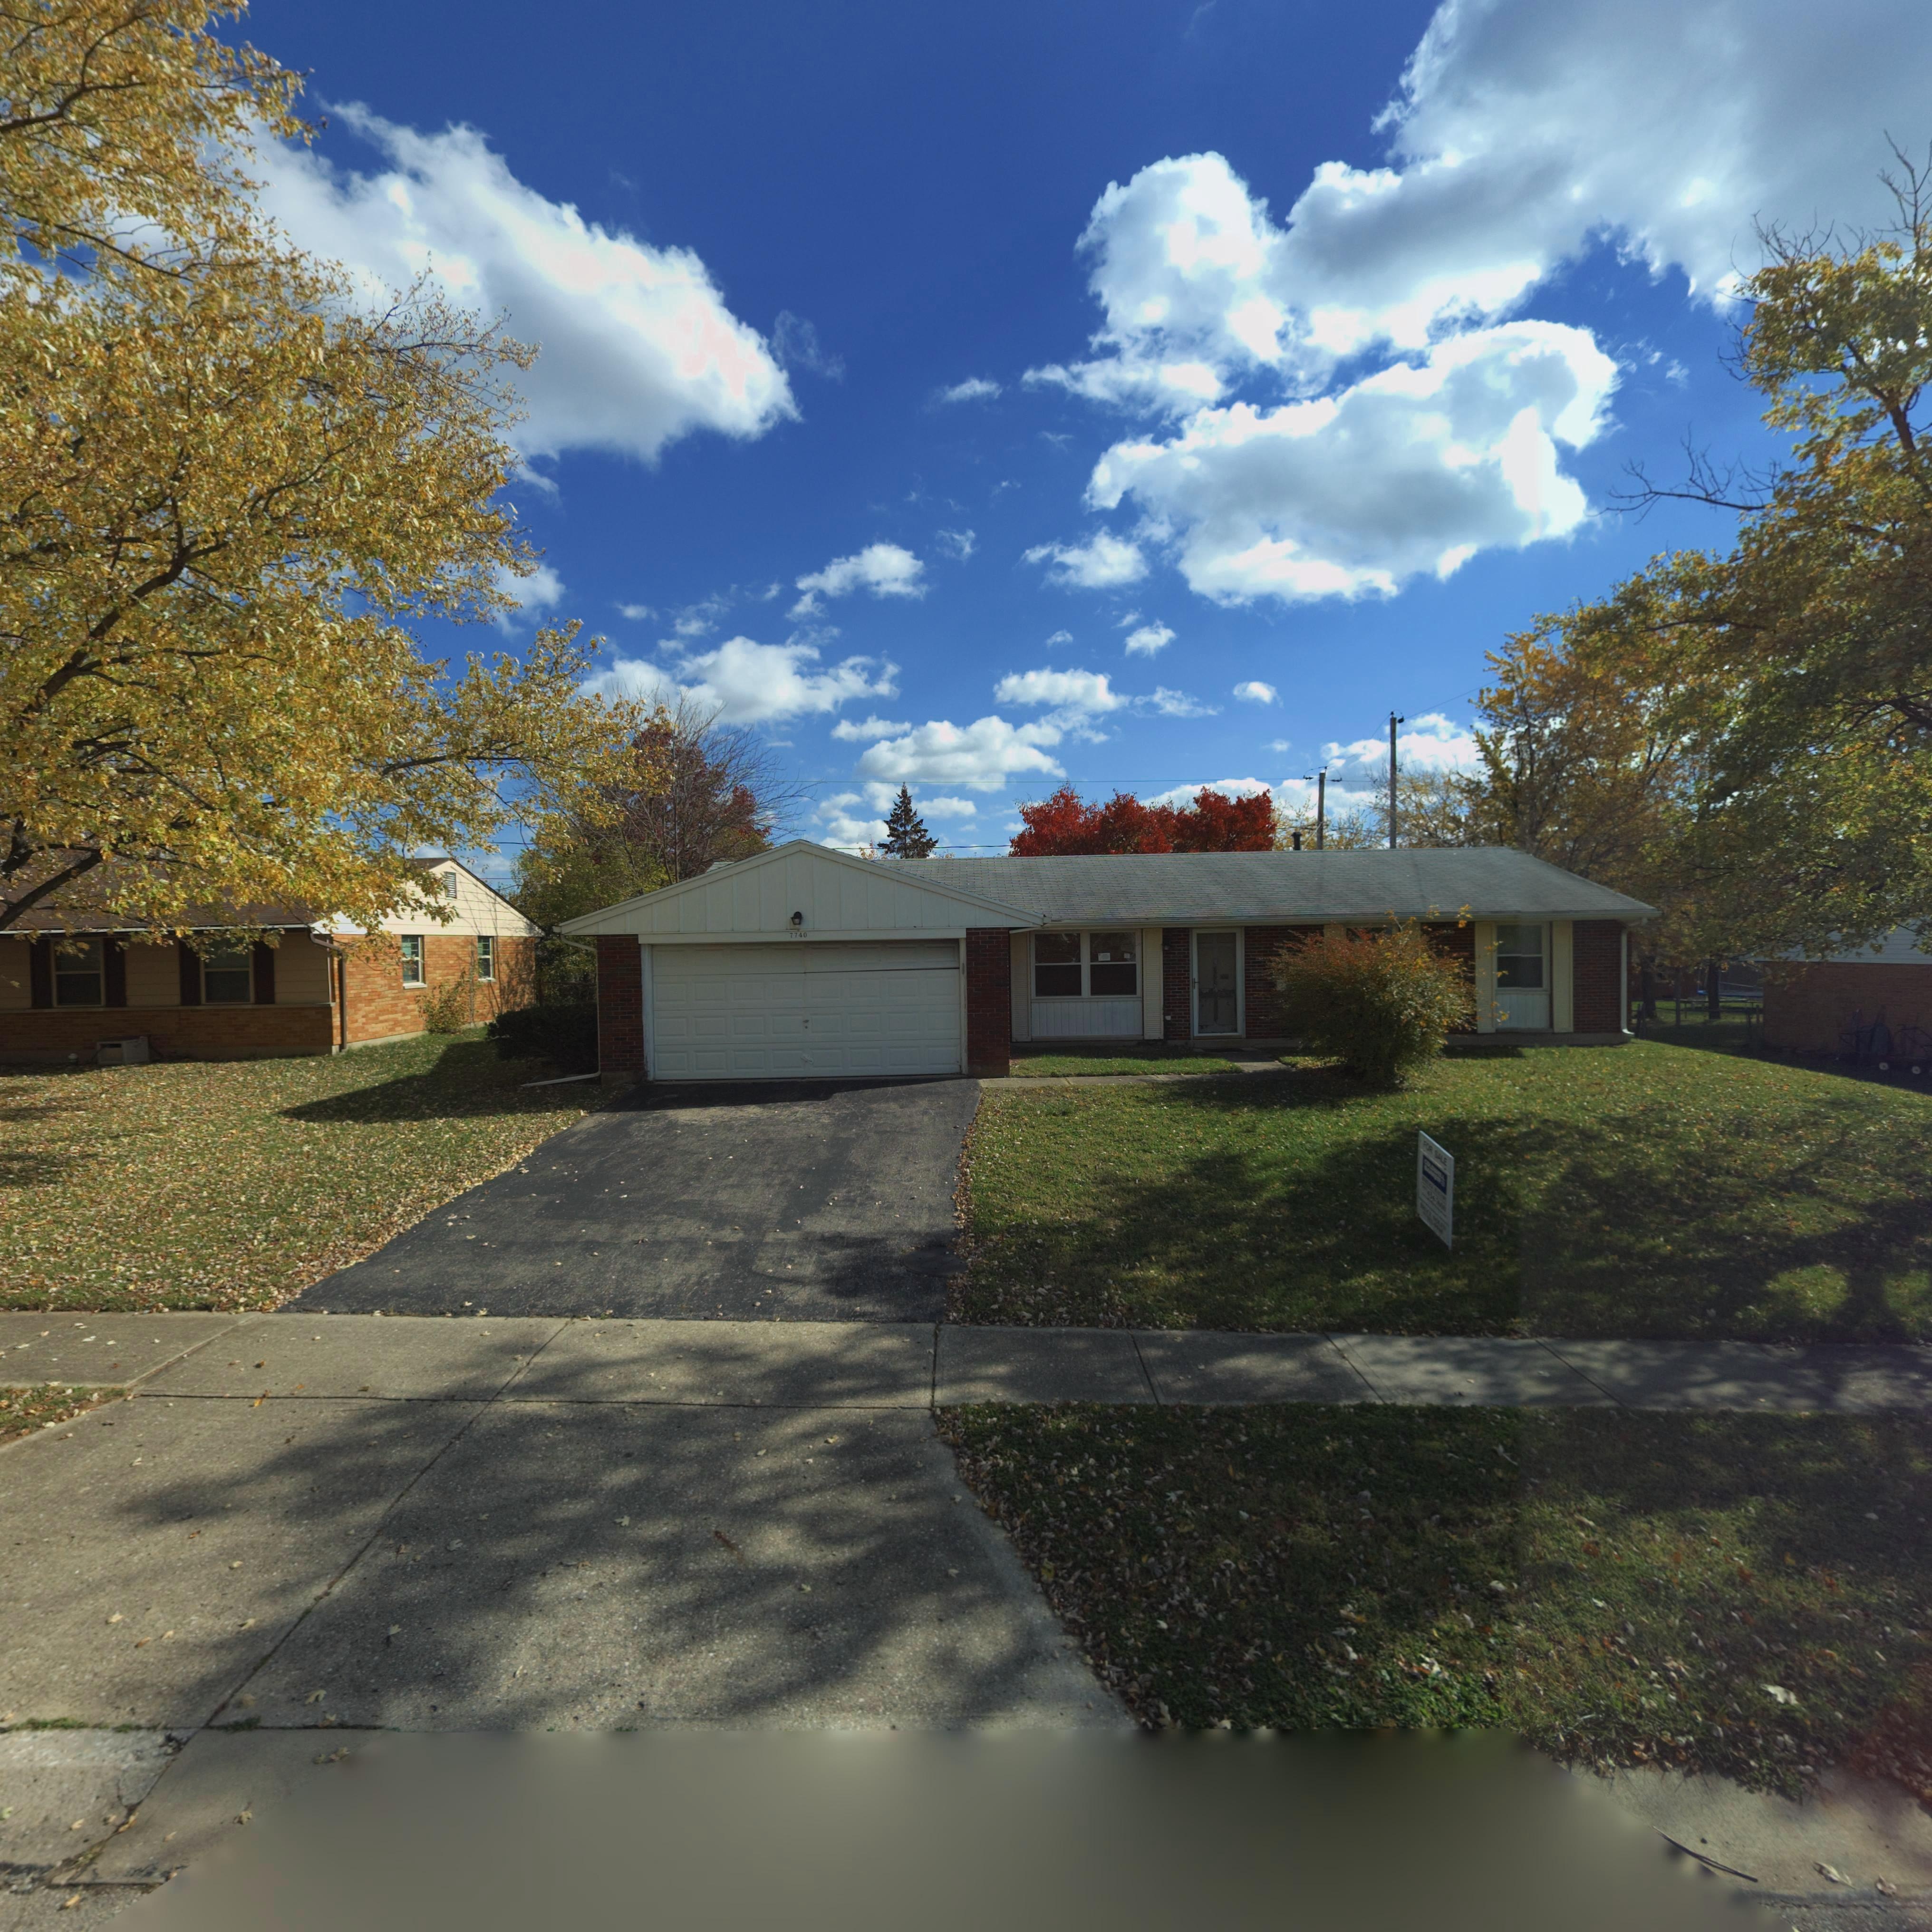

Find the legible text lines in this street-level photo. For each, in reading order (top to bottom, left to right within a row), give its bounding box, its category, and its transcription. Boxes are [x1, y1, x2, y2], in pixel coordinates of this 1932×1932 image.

[789, 932, 807, 938] StreetNumber: 7740